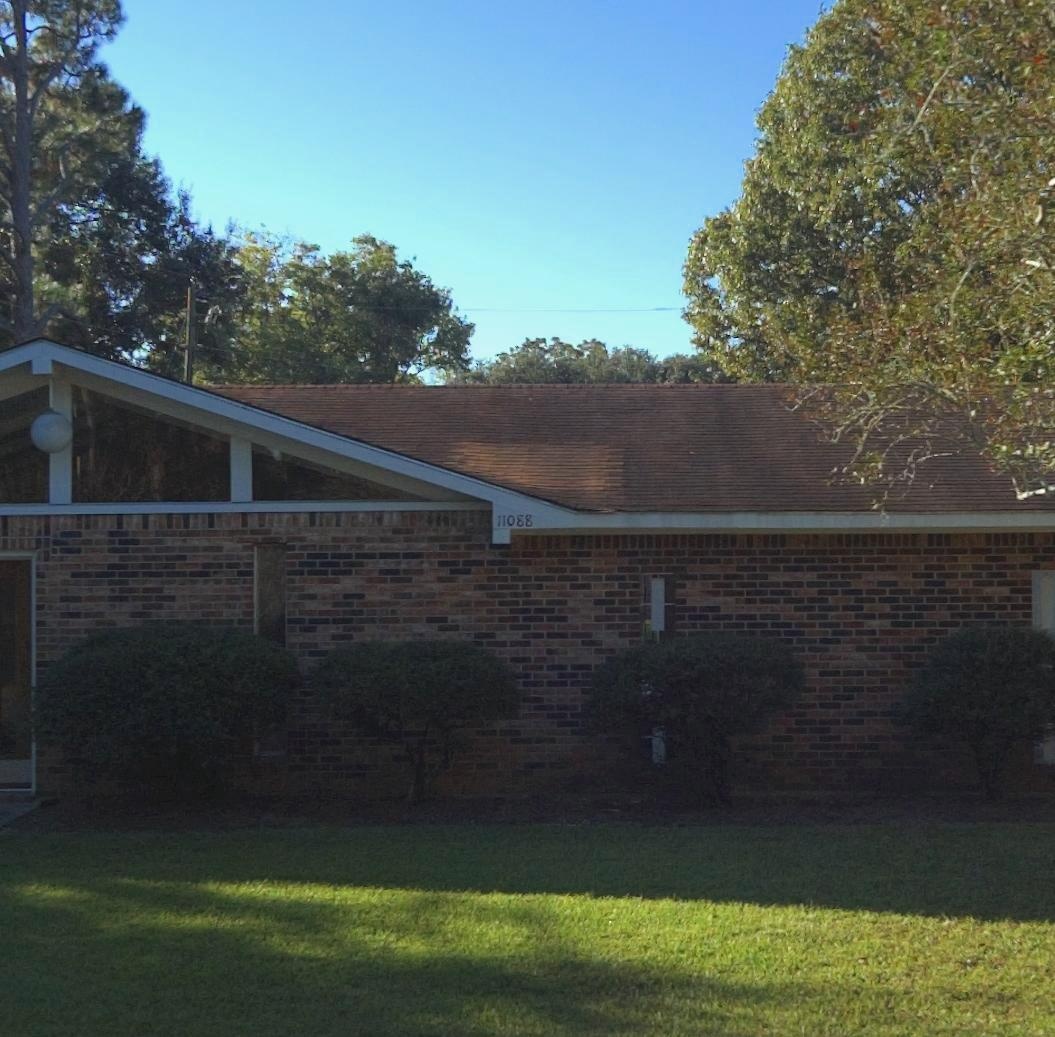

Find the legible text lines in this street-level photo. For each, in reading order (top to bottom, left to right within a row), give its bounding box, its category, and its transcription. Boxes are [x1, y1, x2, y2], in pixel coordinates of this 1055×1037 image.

[496, 513, 534, 528] StreetNumber: 11088